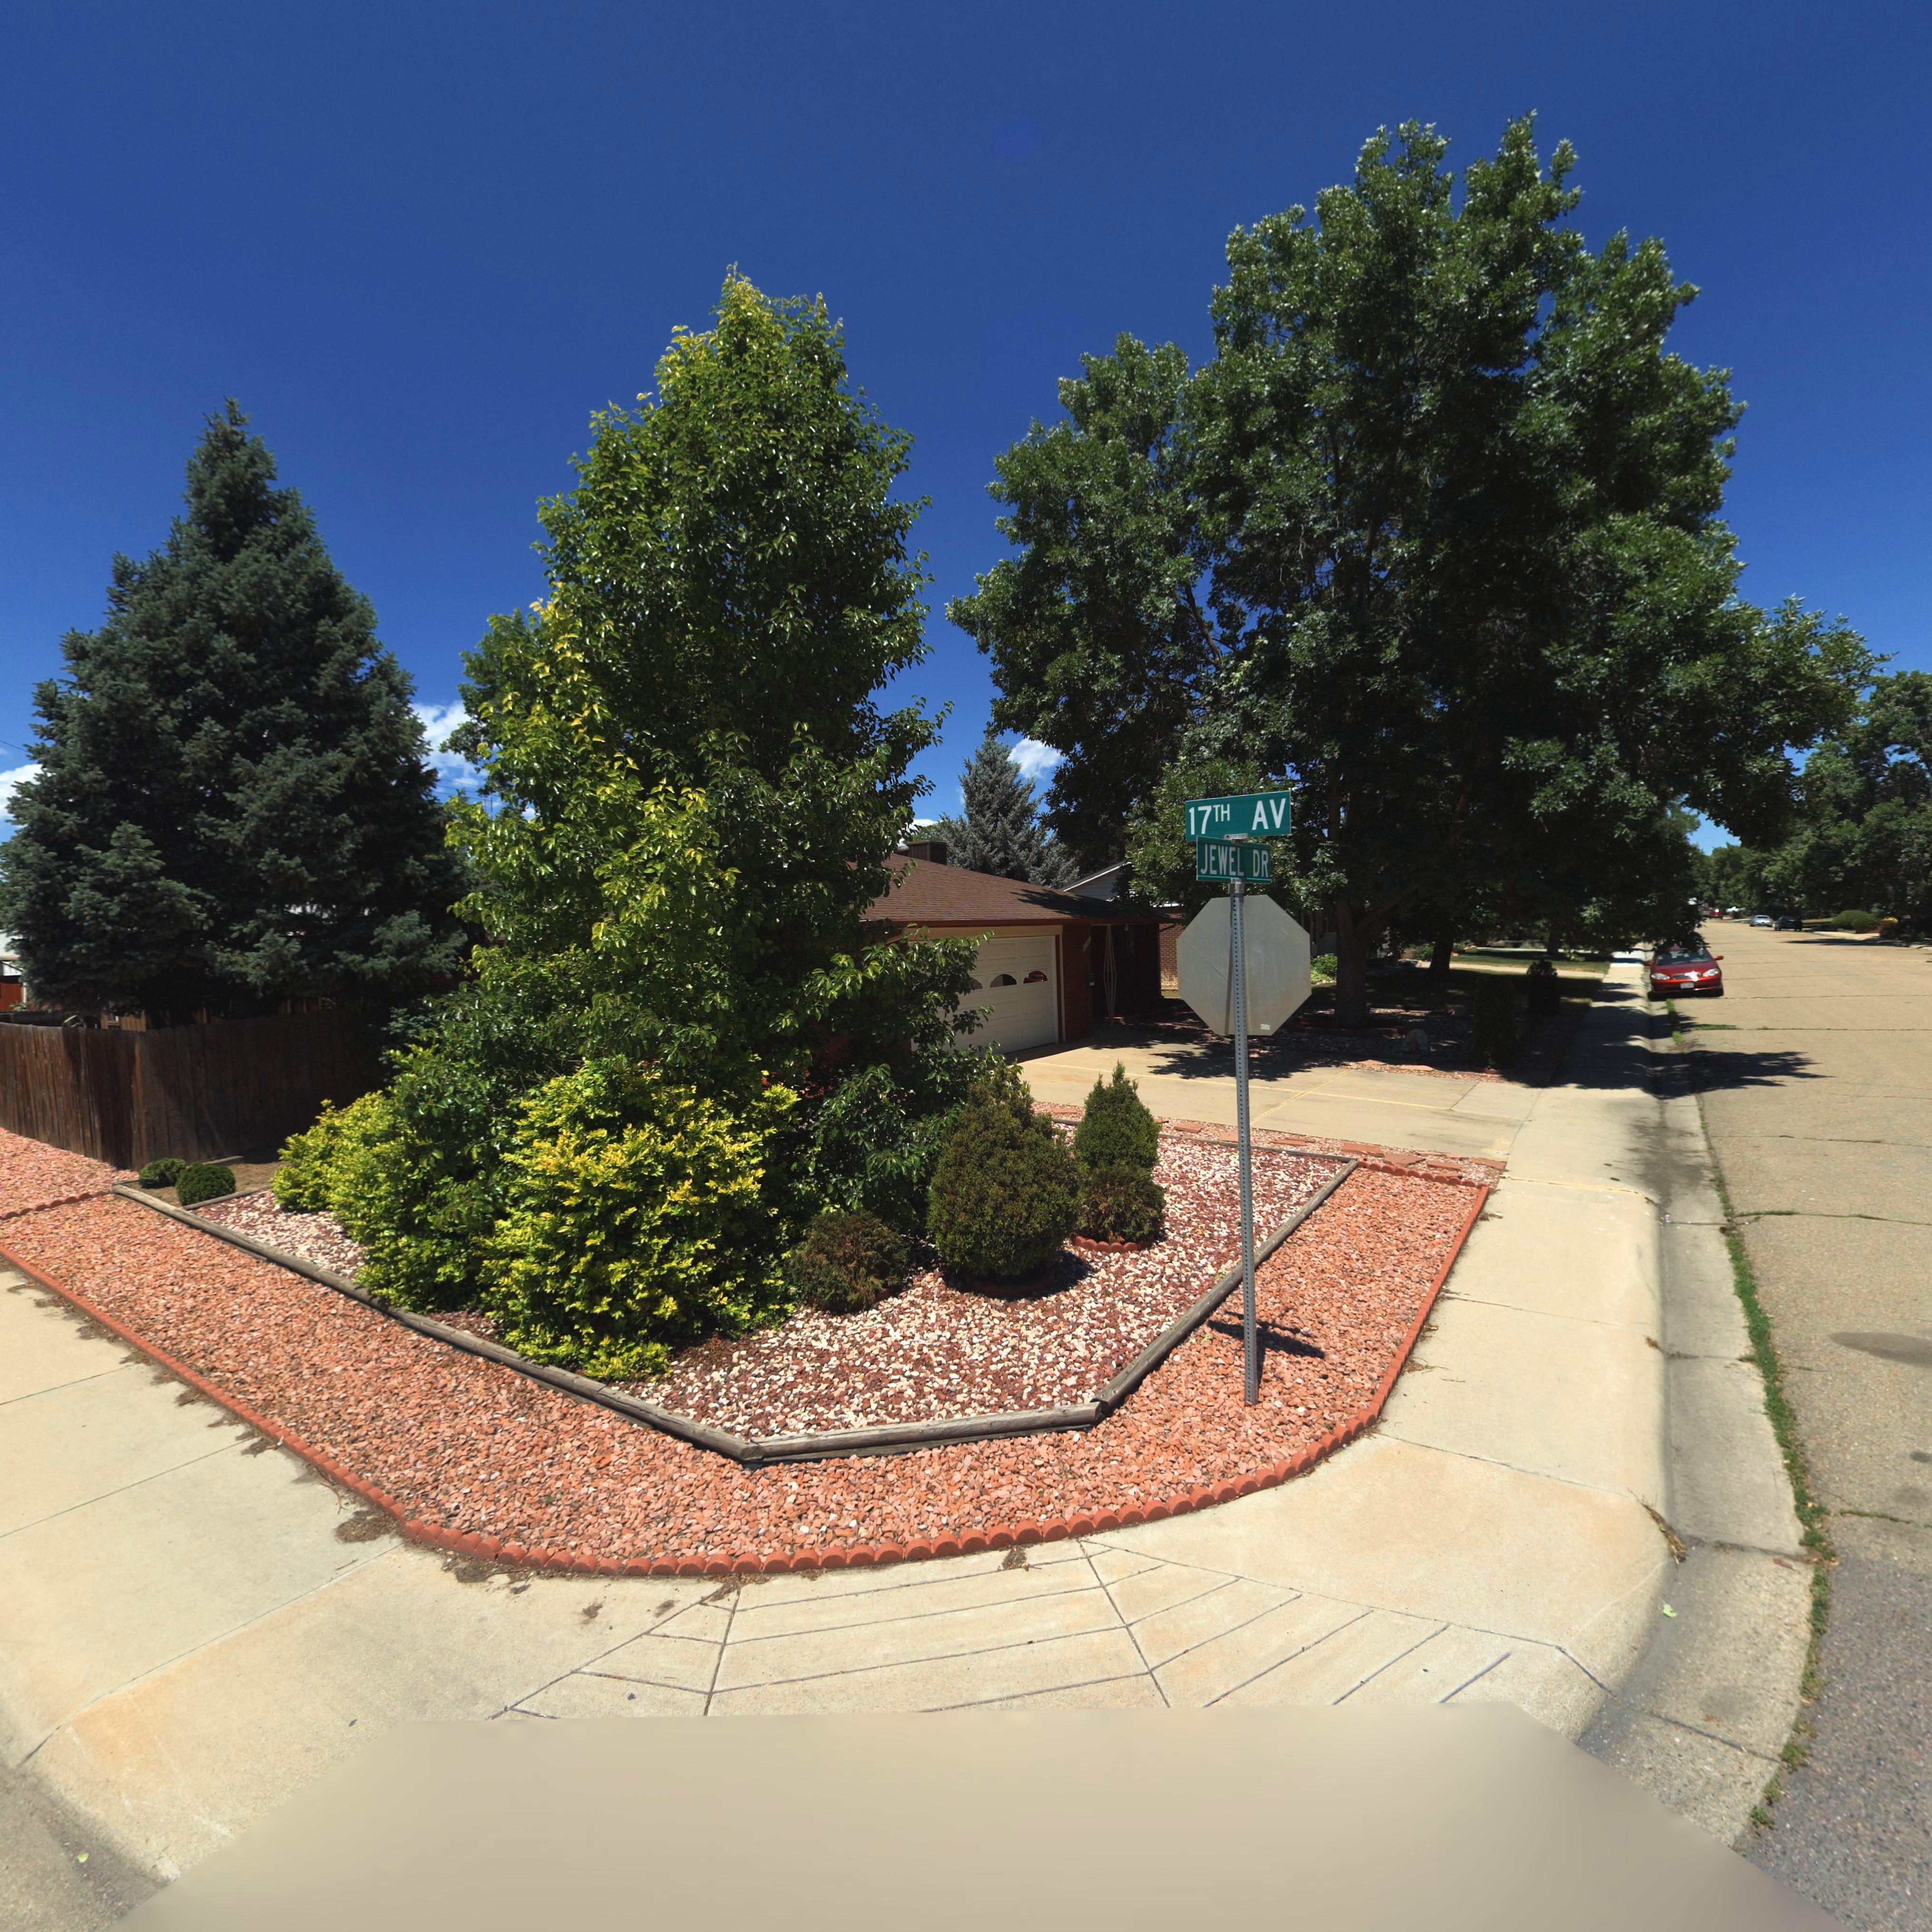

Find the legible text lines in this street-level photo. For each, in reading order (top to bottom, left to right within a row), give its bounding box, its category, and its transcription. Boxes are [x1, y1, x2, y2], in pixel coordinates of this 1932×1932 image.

[1188, 797, 1287, 836] StreetName: 17TH AV
[1199, 843, 1268, 878] StreetName: JEWEL DR